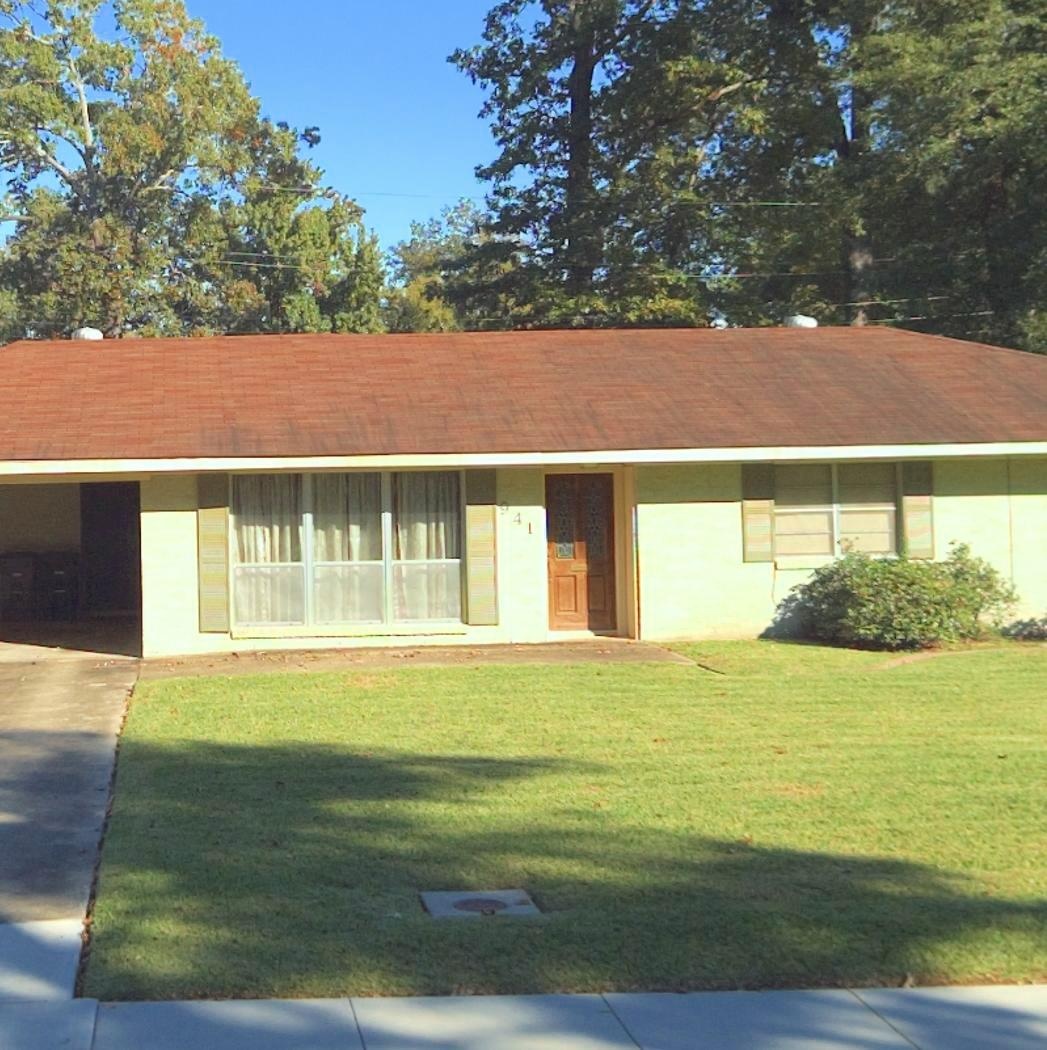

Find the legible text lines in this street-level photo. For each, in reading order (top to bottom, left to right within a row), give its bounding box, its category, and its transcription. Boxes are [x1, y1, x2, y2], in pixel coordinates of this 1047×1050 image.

[499, 500, 533, 535] StreetNumber: 941